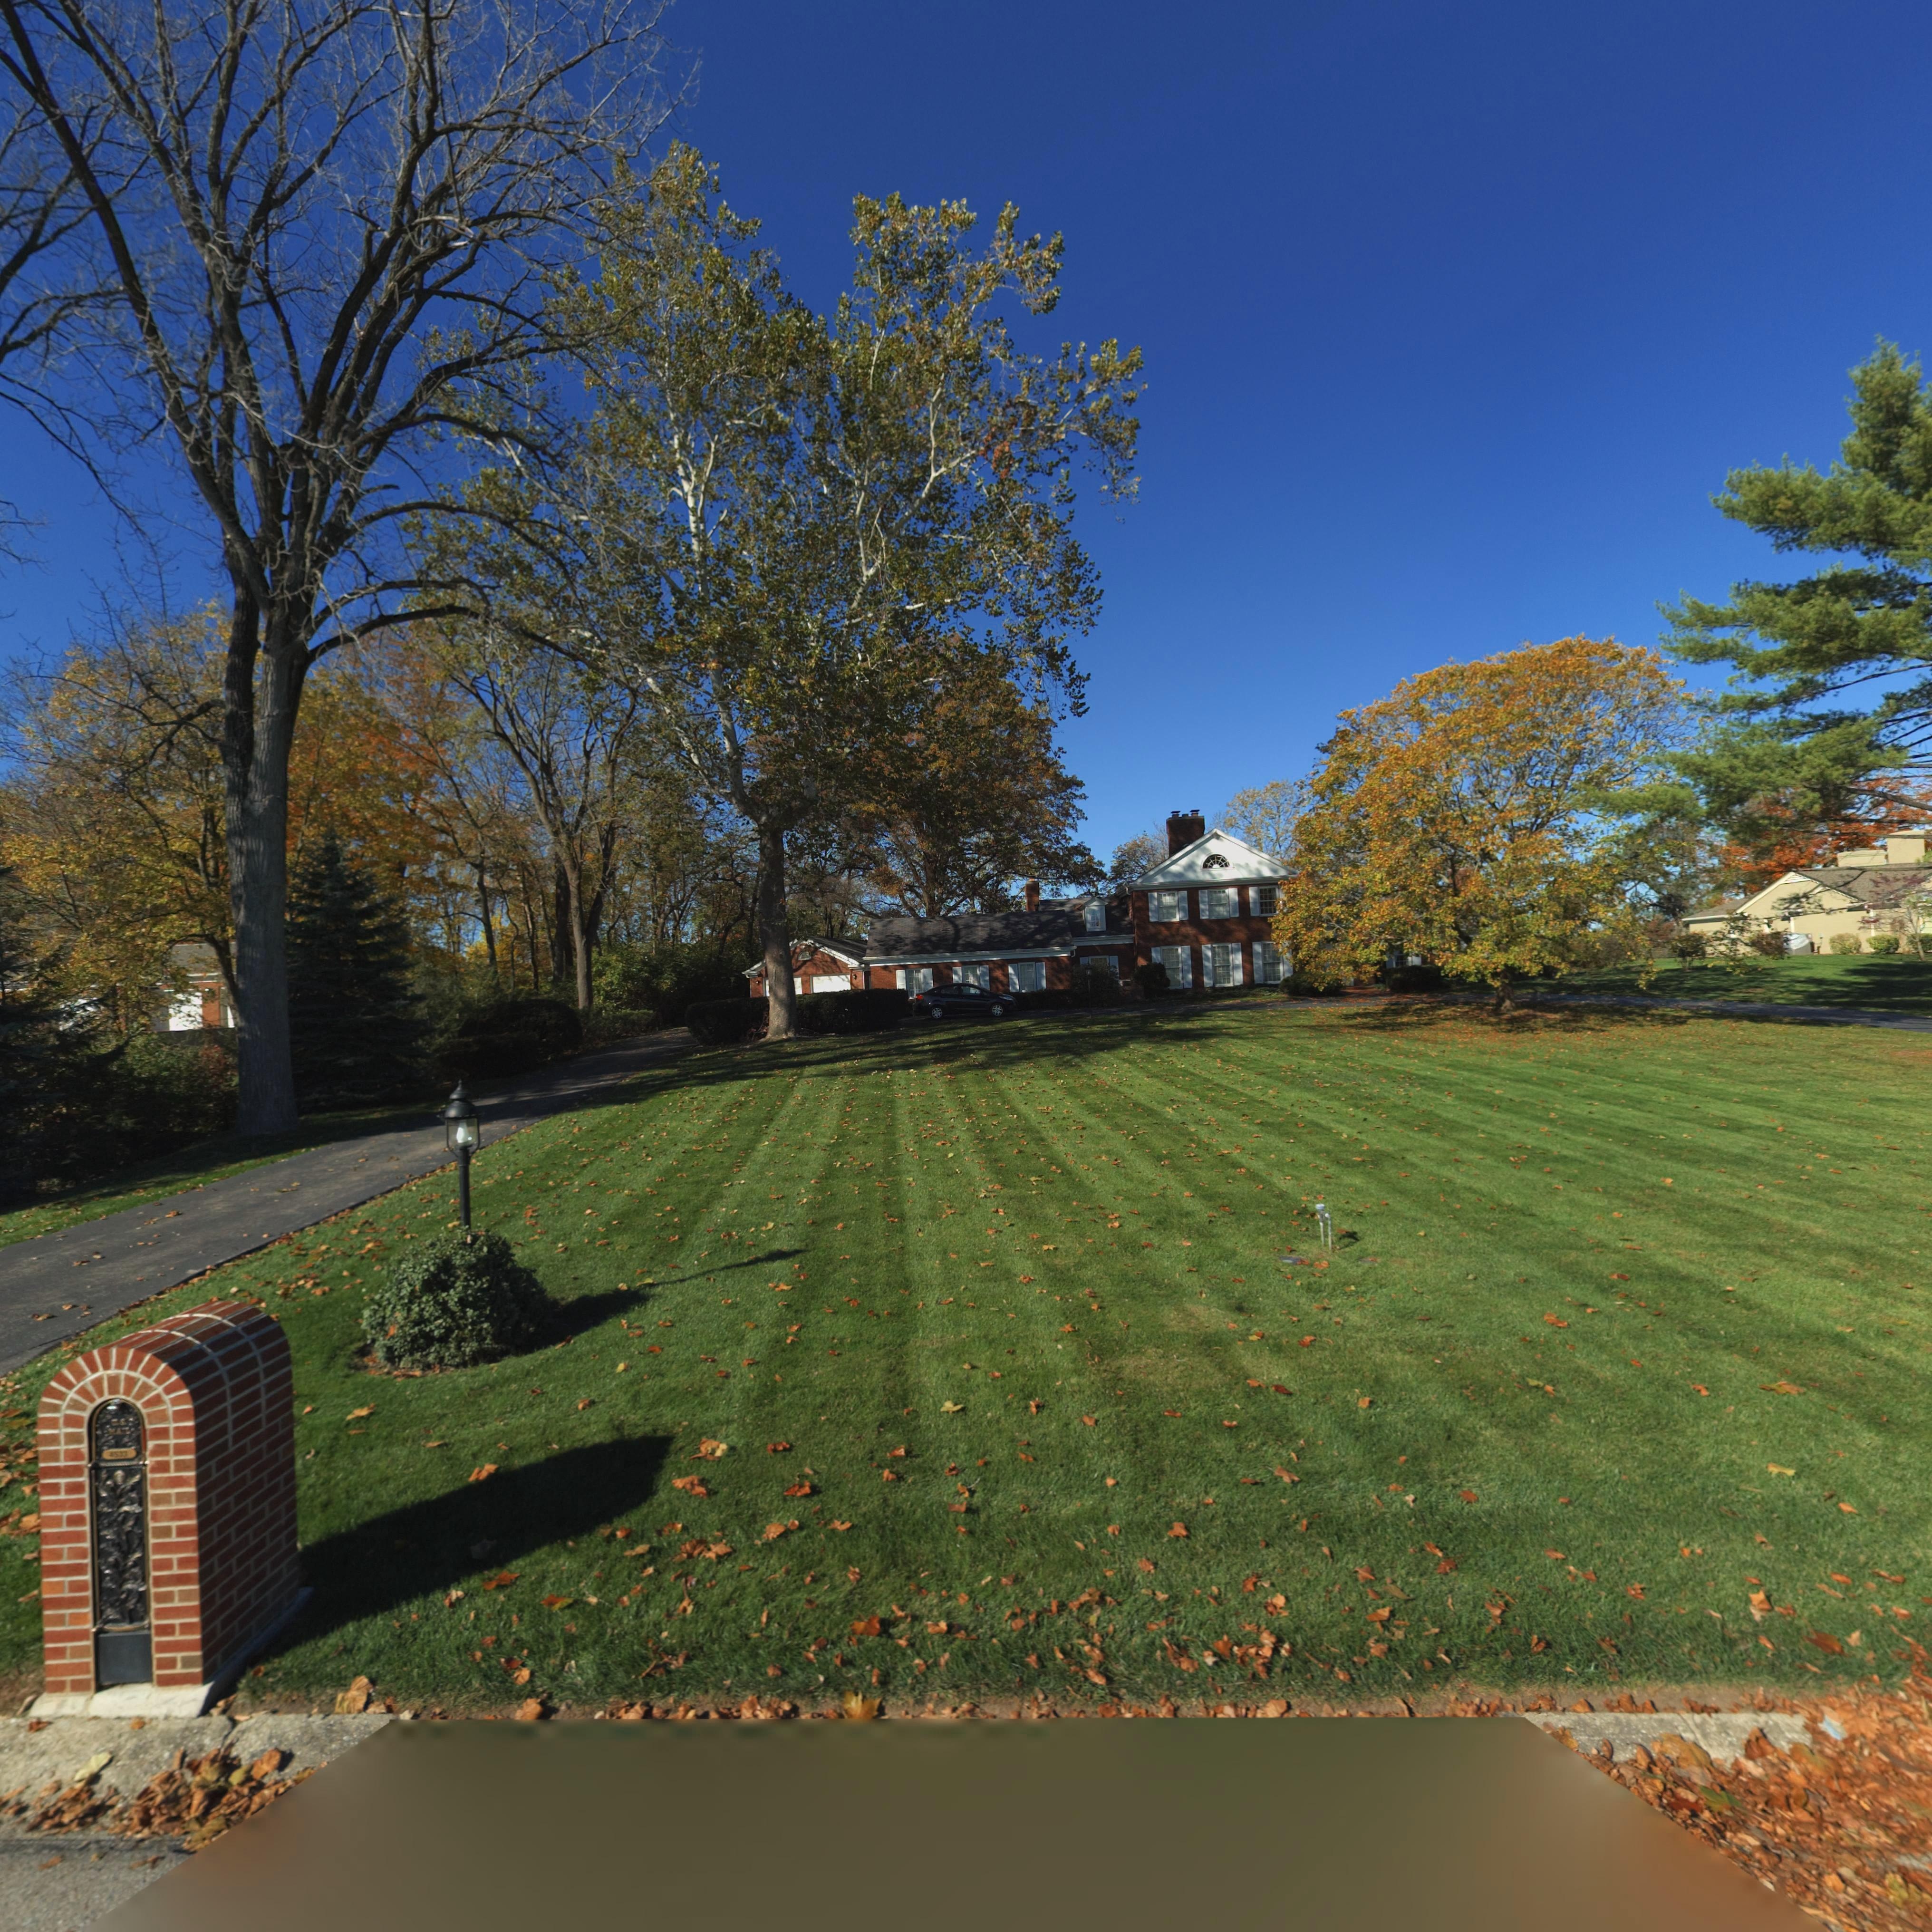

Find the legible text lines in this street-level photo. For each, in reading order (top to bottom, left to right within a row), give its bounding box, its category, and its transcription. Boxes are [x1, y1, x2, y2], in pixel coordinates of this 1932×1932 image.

[108, 1450, 128, 1458] StreetNumber: 4533